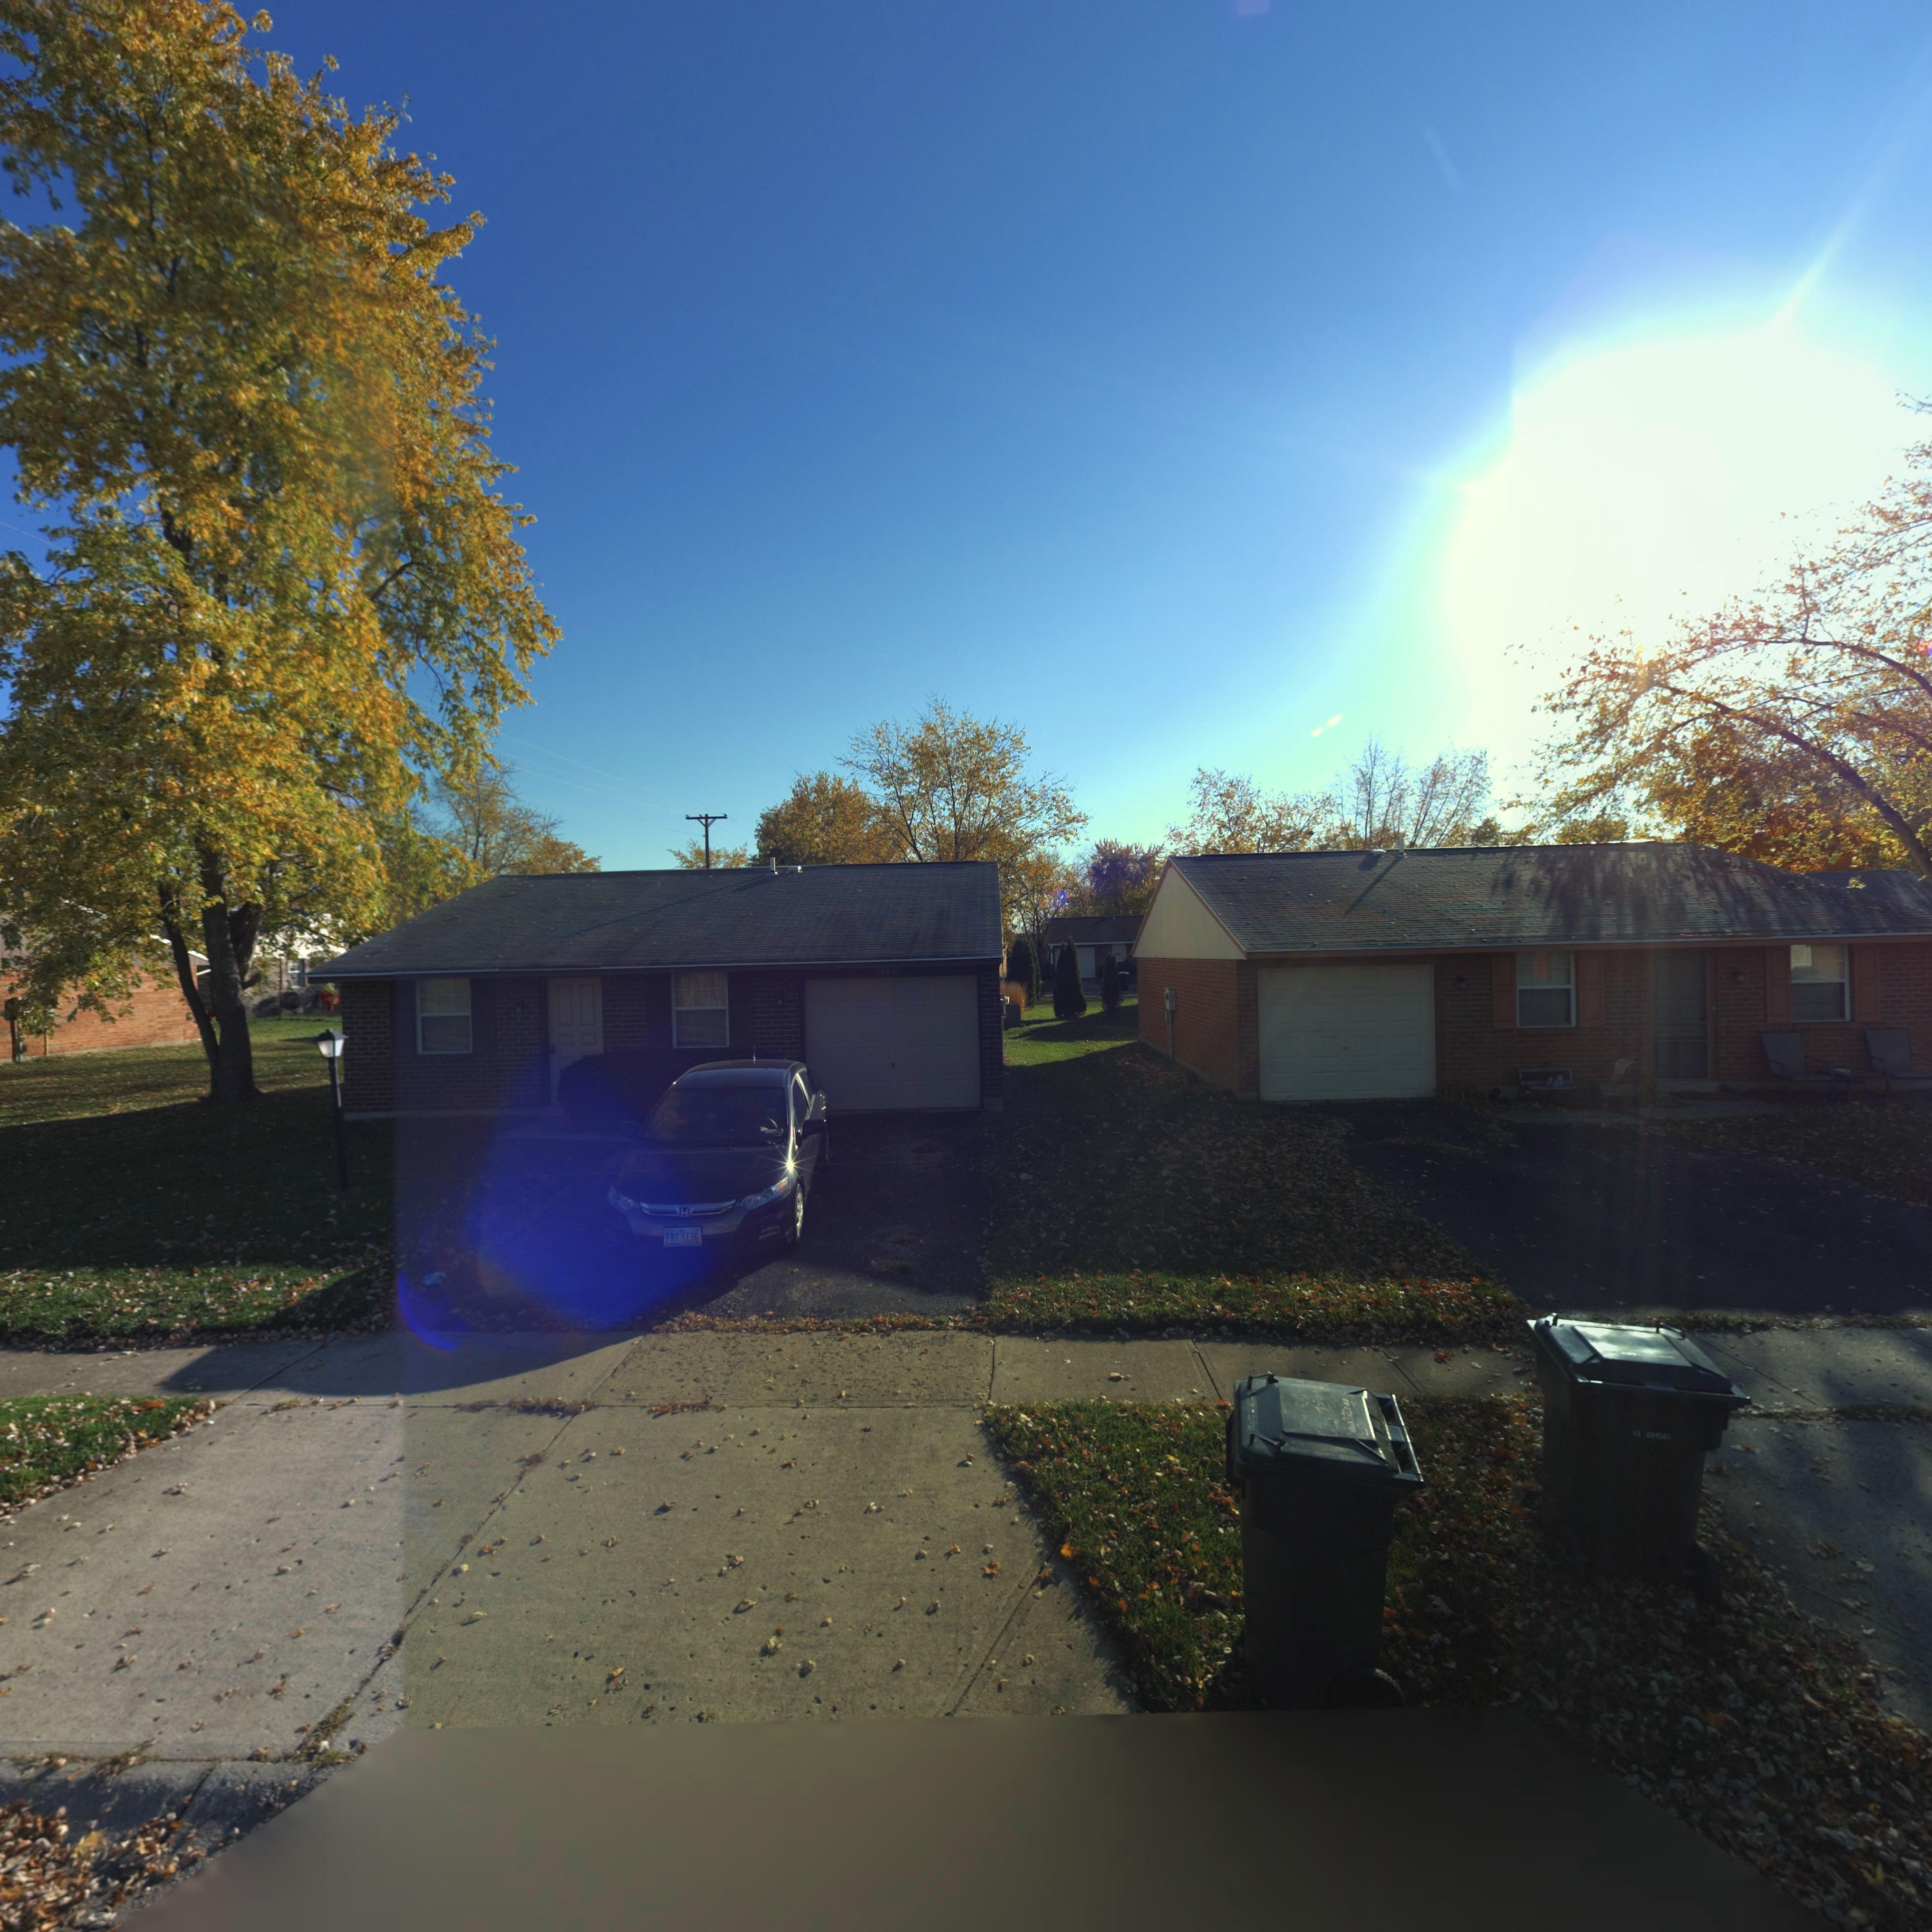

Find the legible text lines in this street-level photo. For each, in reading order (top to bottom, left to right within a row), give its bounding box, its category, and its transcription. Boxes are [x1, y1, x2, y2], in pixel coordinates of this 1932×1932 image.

[875, 966, 898, 976] StreetNumber: 7820
[665, 1231, 699, 1244] None: FKT 1176